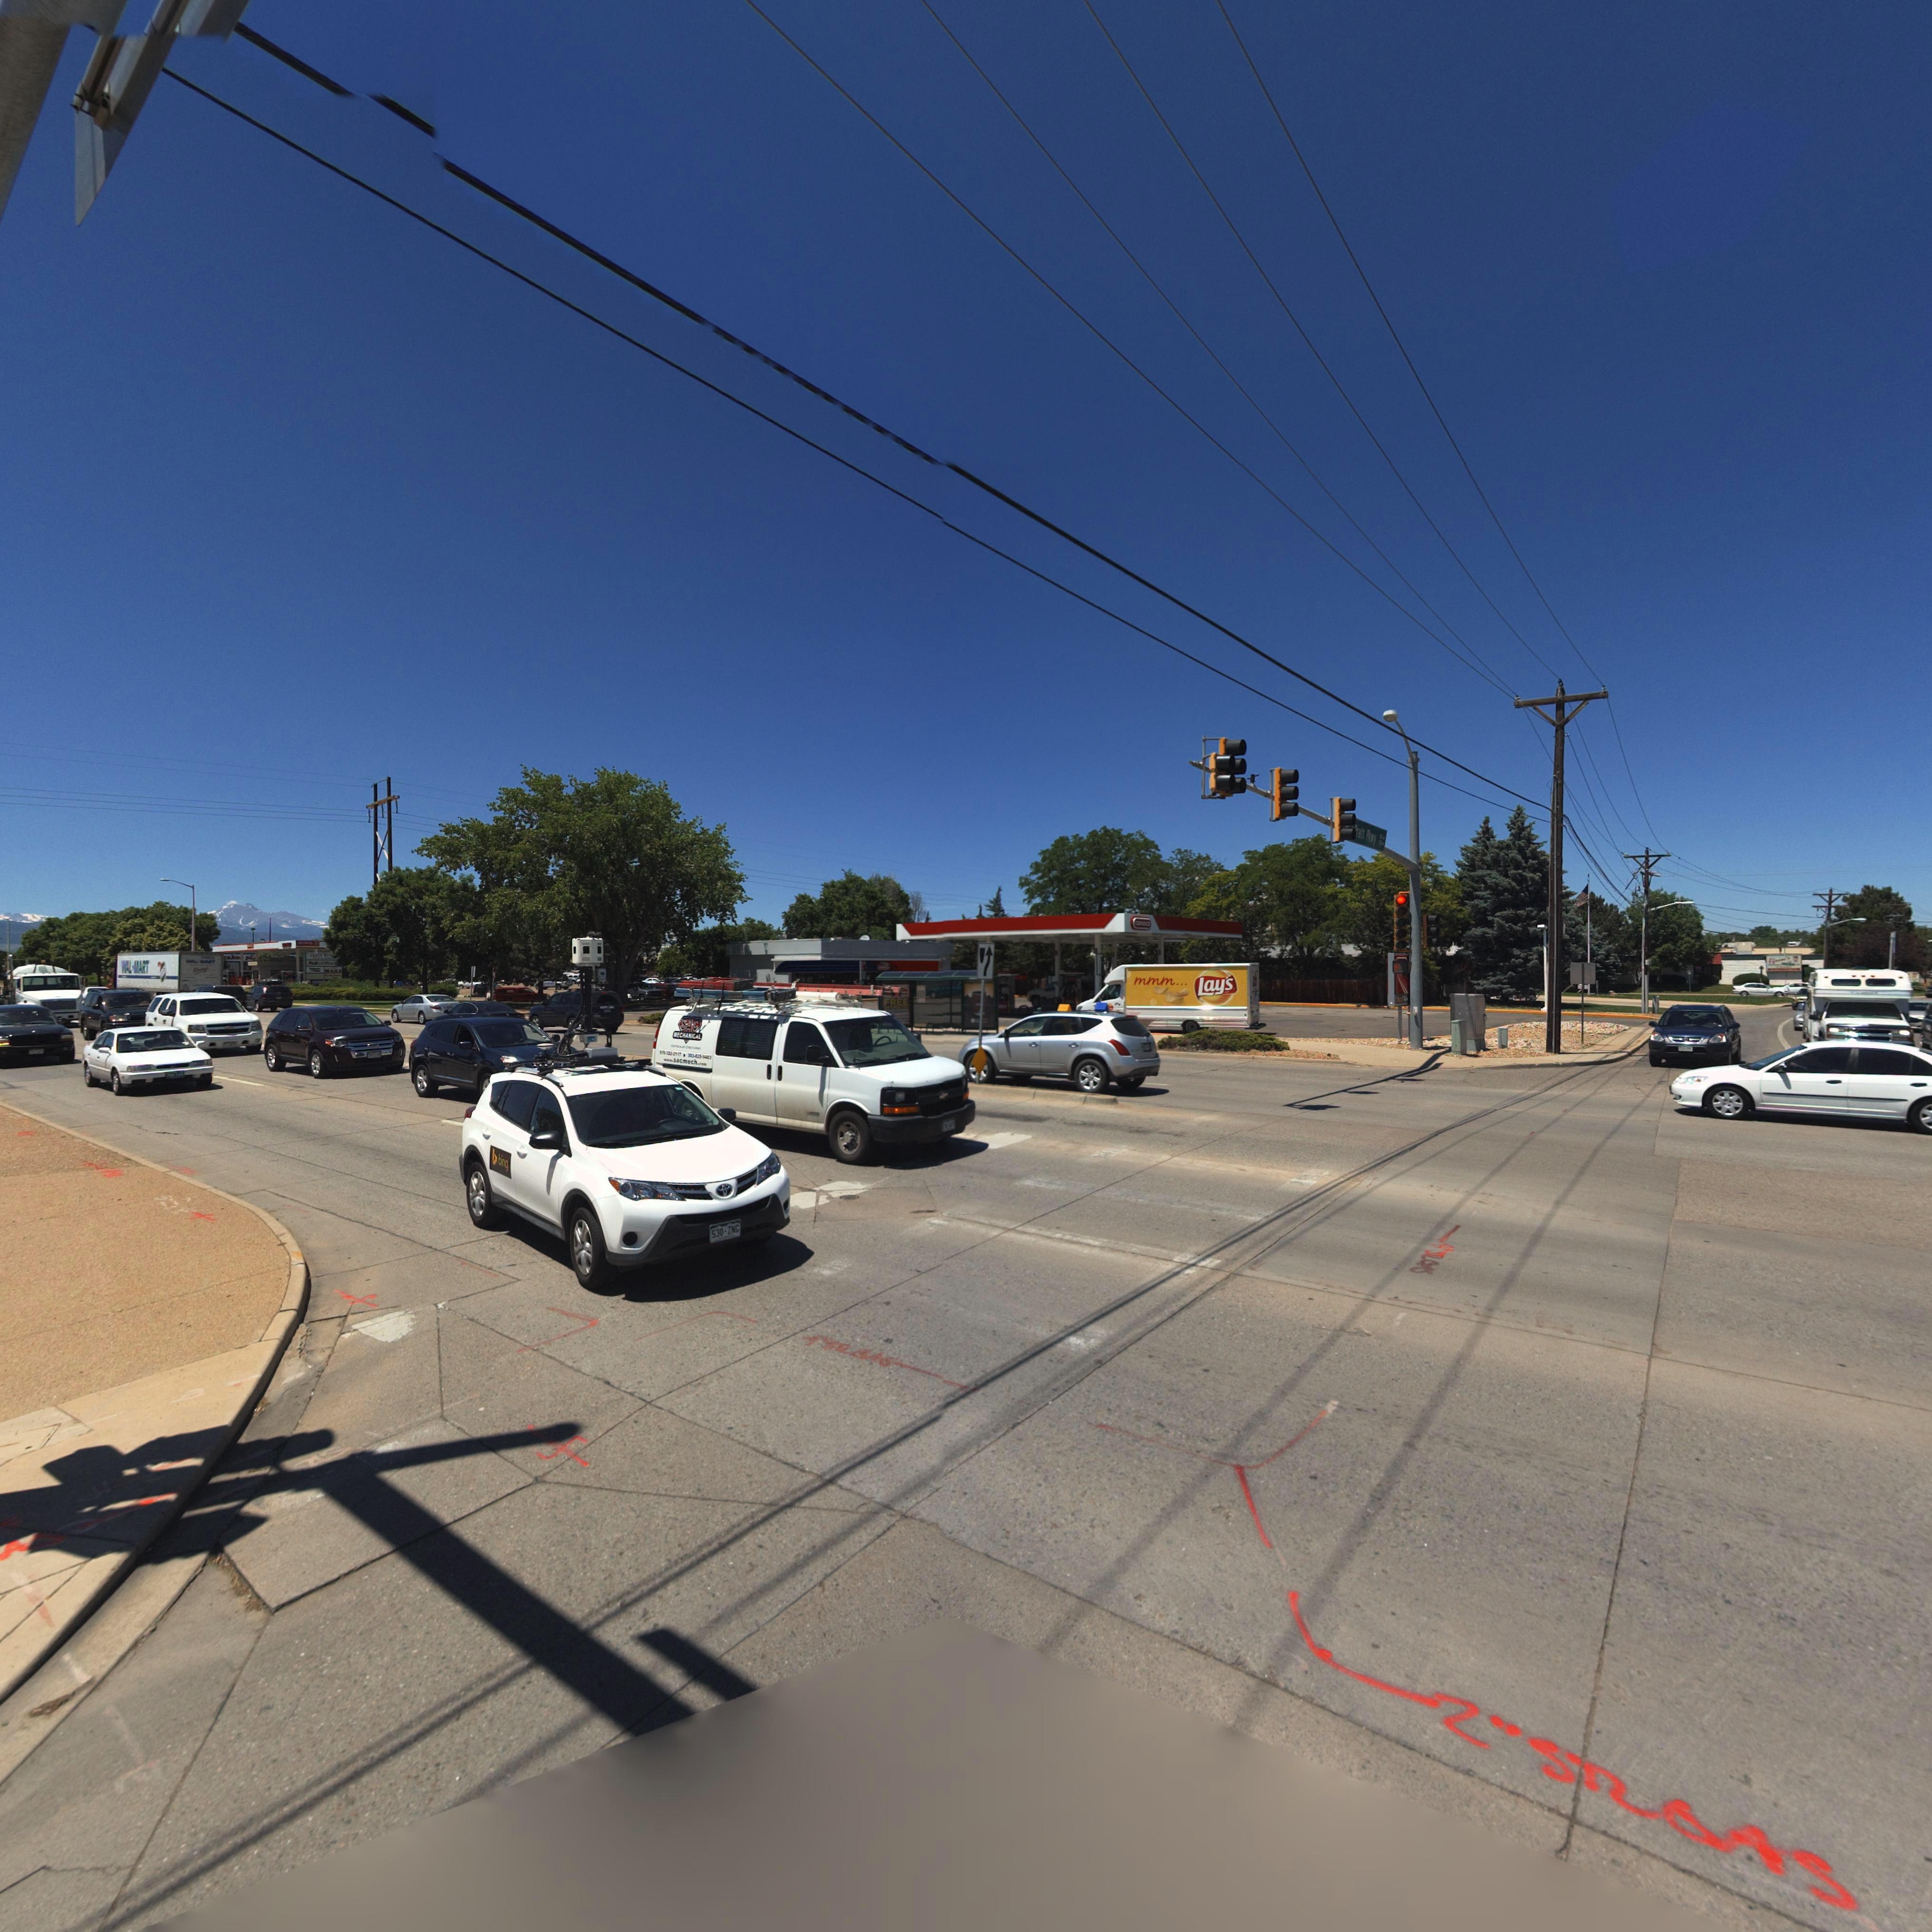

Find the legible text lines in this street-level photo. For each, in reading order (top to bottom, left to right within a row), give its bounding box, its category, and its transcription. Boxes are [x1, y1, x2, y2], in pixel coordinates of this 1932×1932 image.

[1353, 823, 1377, 846] StreetName: **ratt Pkwy
[1134, 920, 1151, 926] BusinessName: conoco
[308, 961, 334, 965] BusinessName: F**Ex Office
[877, 961, 890, 966] BusinessName: Alta